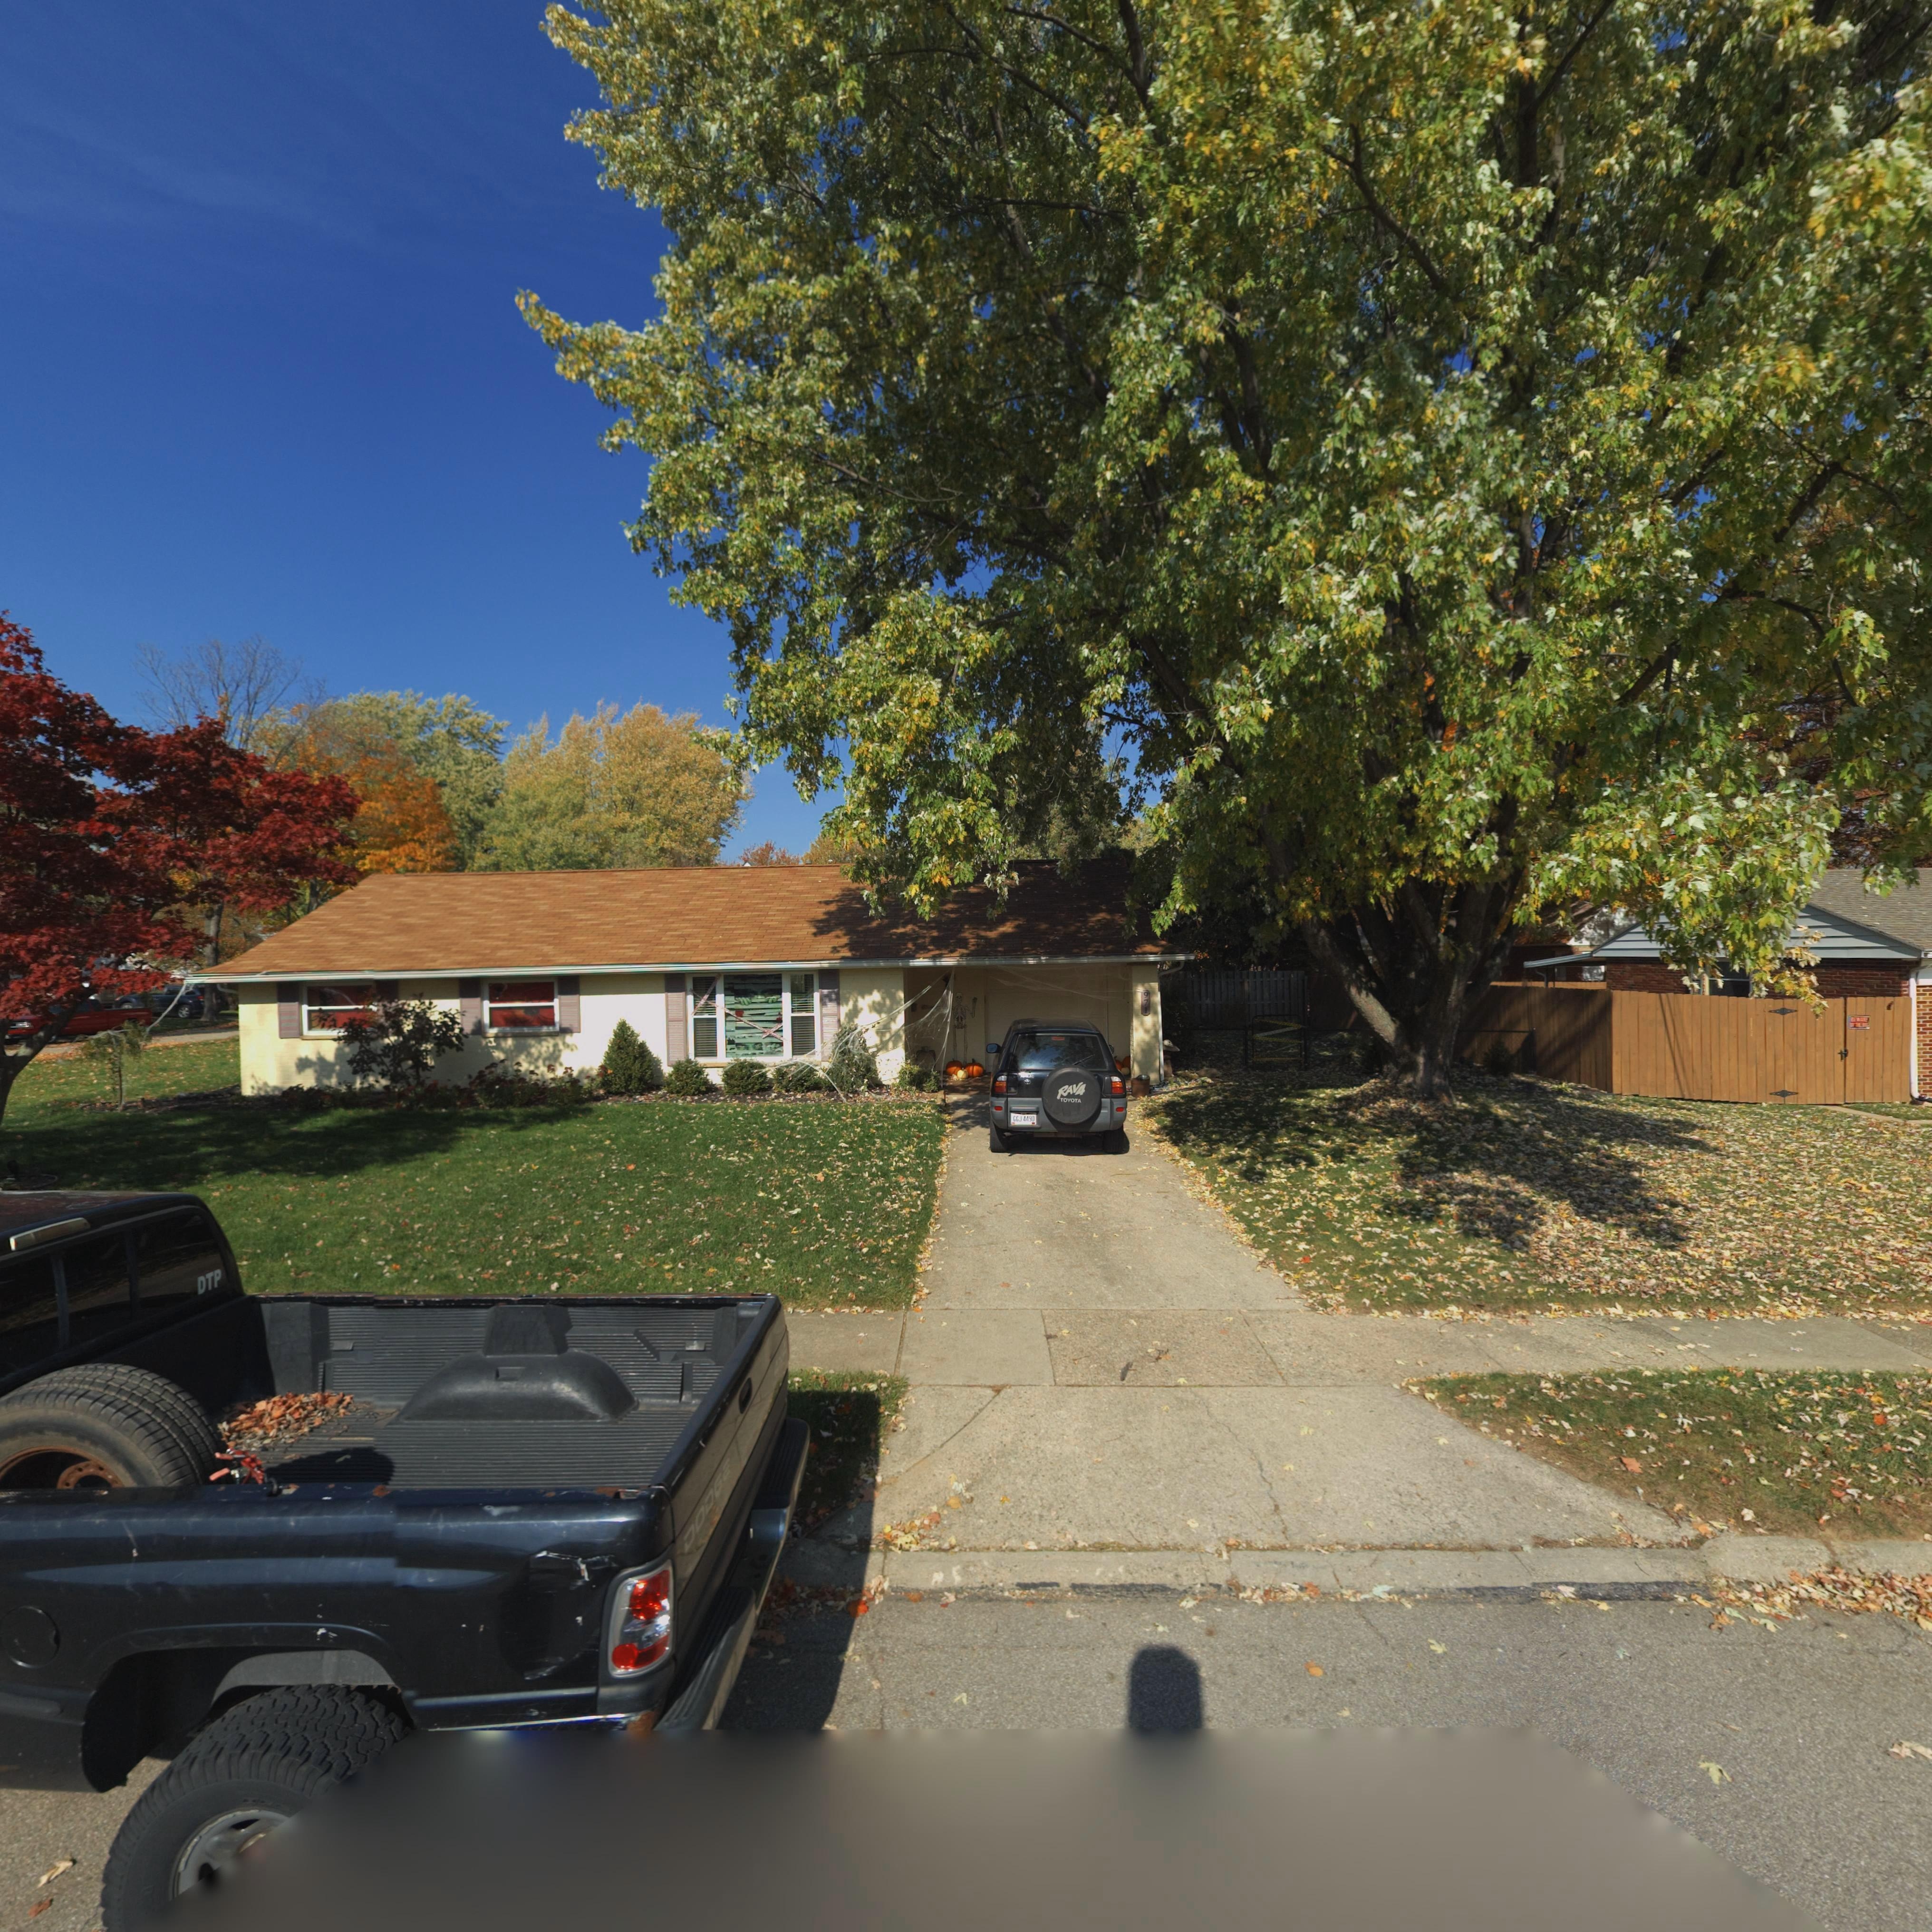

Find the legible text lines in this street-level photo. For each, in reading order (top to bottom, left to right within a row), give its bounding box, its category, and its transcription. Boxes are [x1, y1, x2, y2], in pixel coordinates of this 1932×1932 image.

[1142, 991, 1150, 1014] StreetNumber: 971
[1059, 1096, 1083, 1104] None: TOYOTA
[1055, 1079, 1089, 1101] None: RAV4
[1012, 1114, 1036, 1123] None: GGJ4490
[196, 1266, 224, 1297] None: DTP
[681, 1454, 734, 1559] None: DODGE